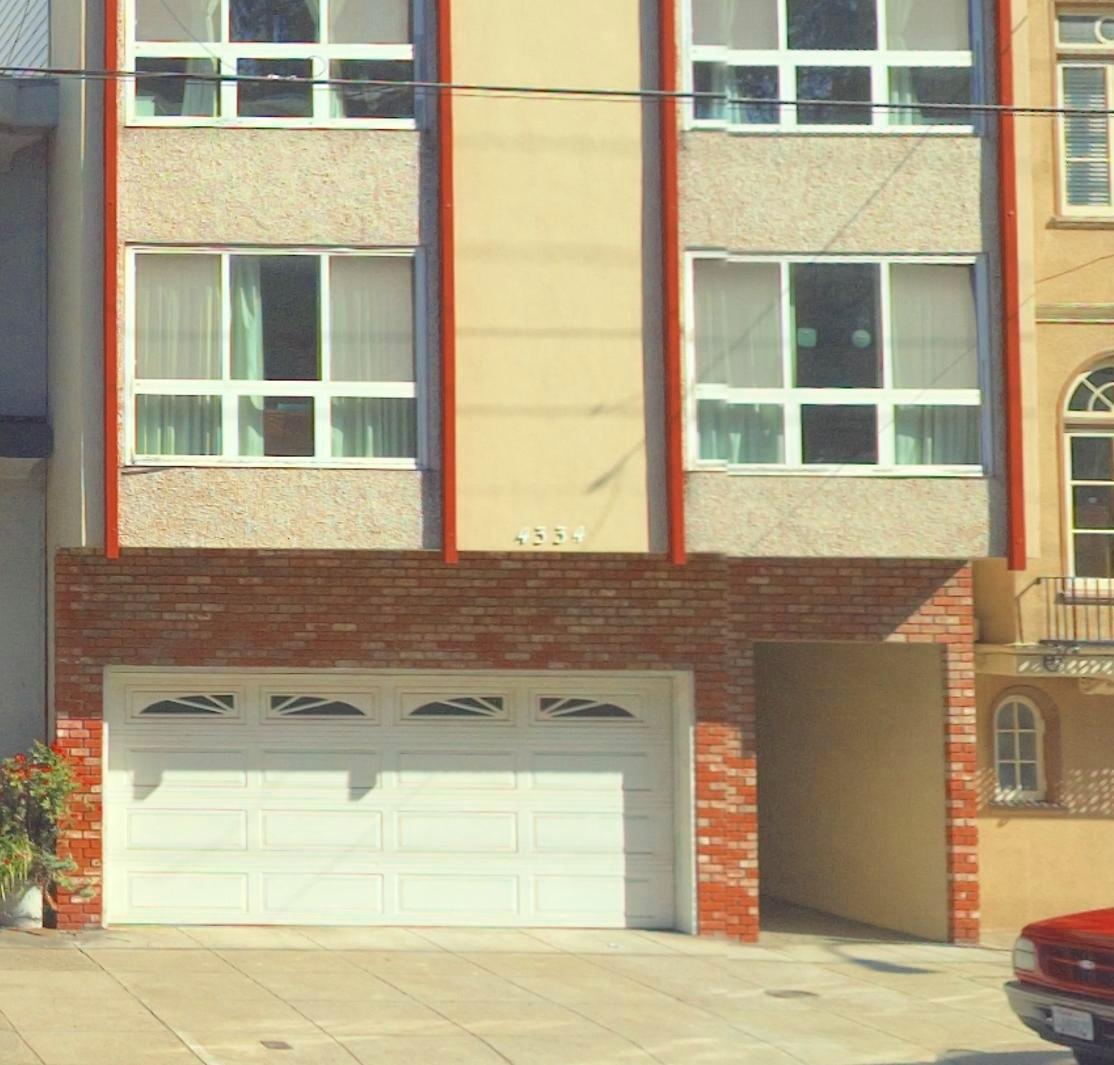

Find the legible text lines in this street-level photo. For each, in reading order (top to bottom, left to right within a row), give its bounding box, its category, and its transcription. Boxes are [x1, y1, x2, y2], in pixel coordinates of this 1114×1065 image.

[513, 523, 591, 550] StreetNumber: 4334